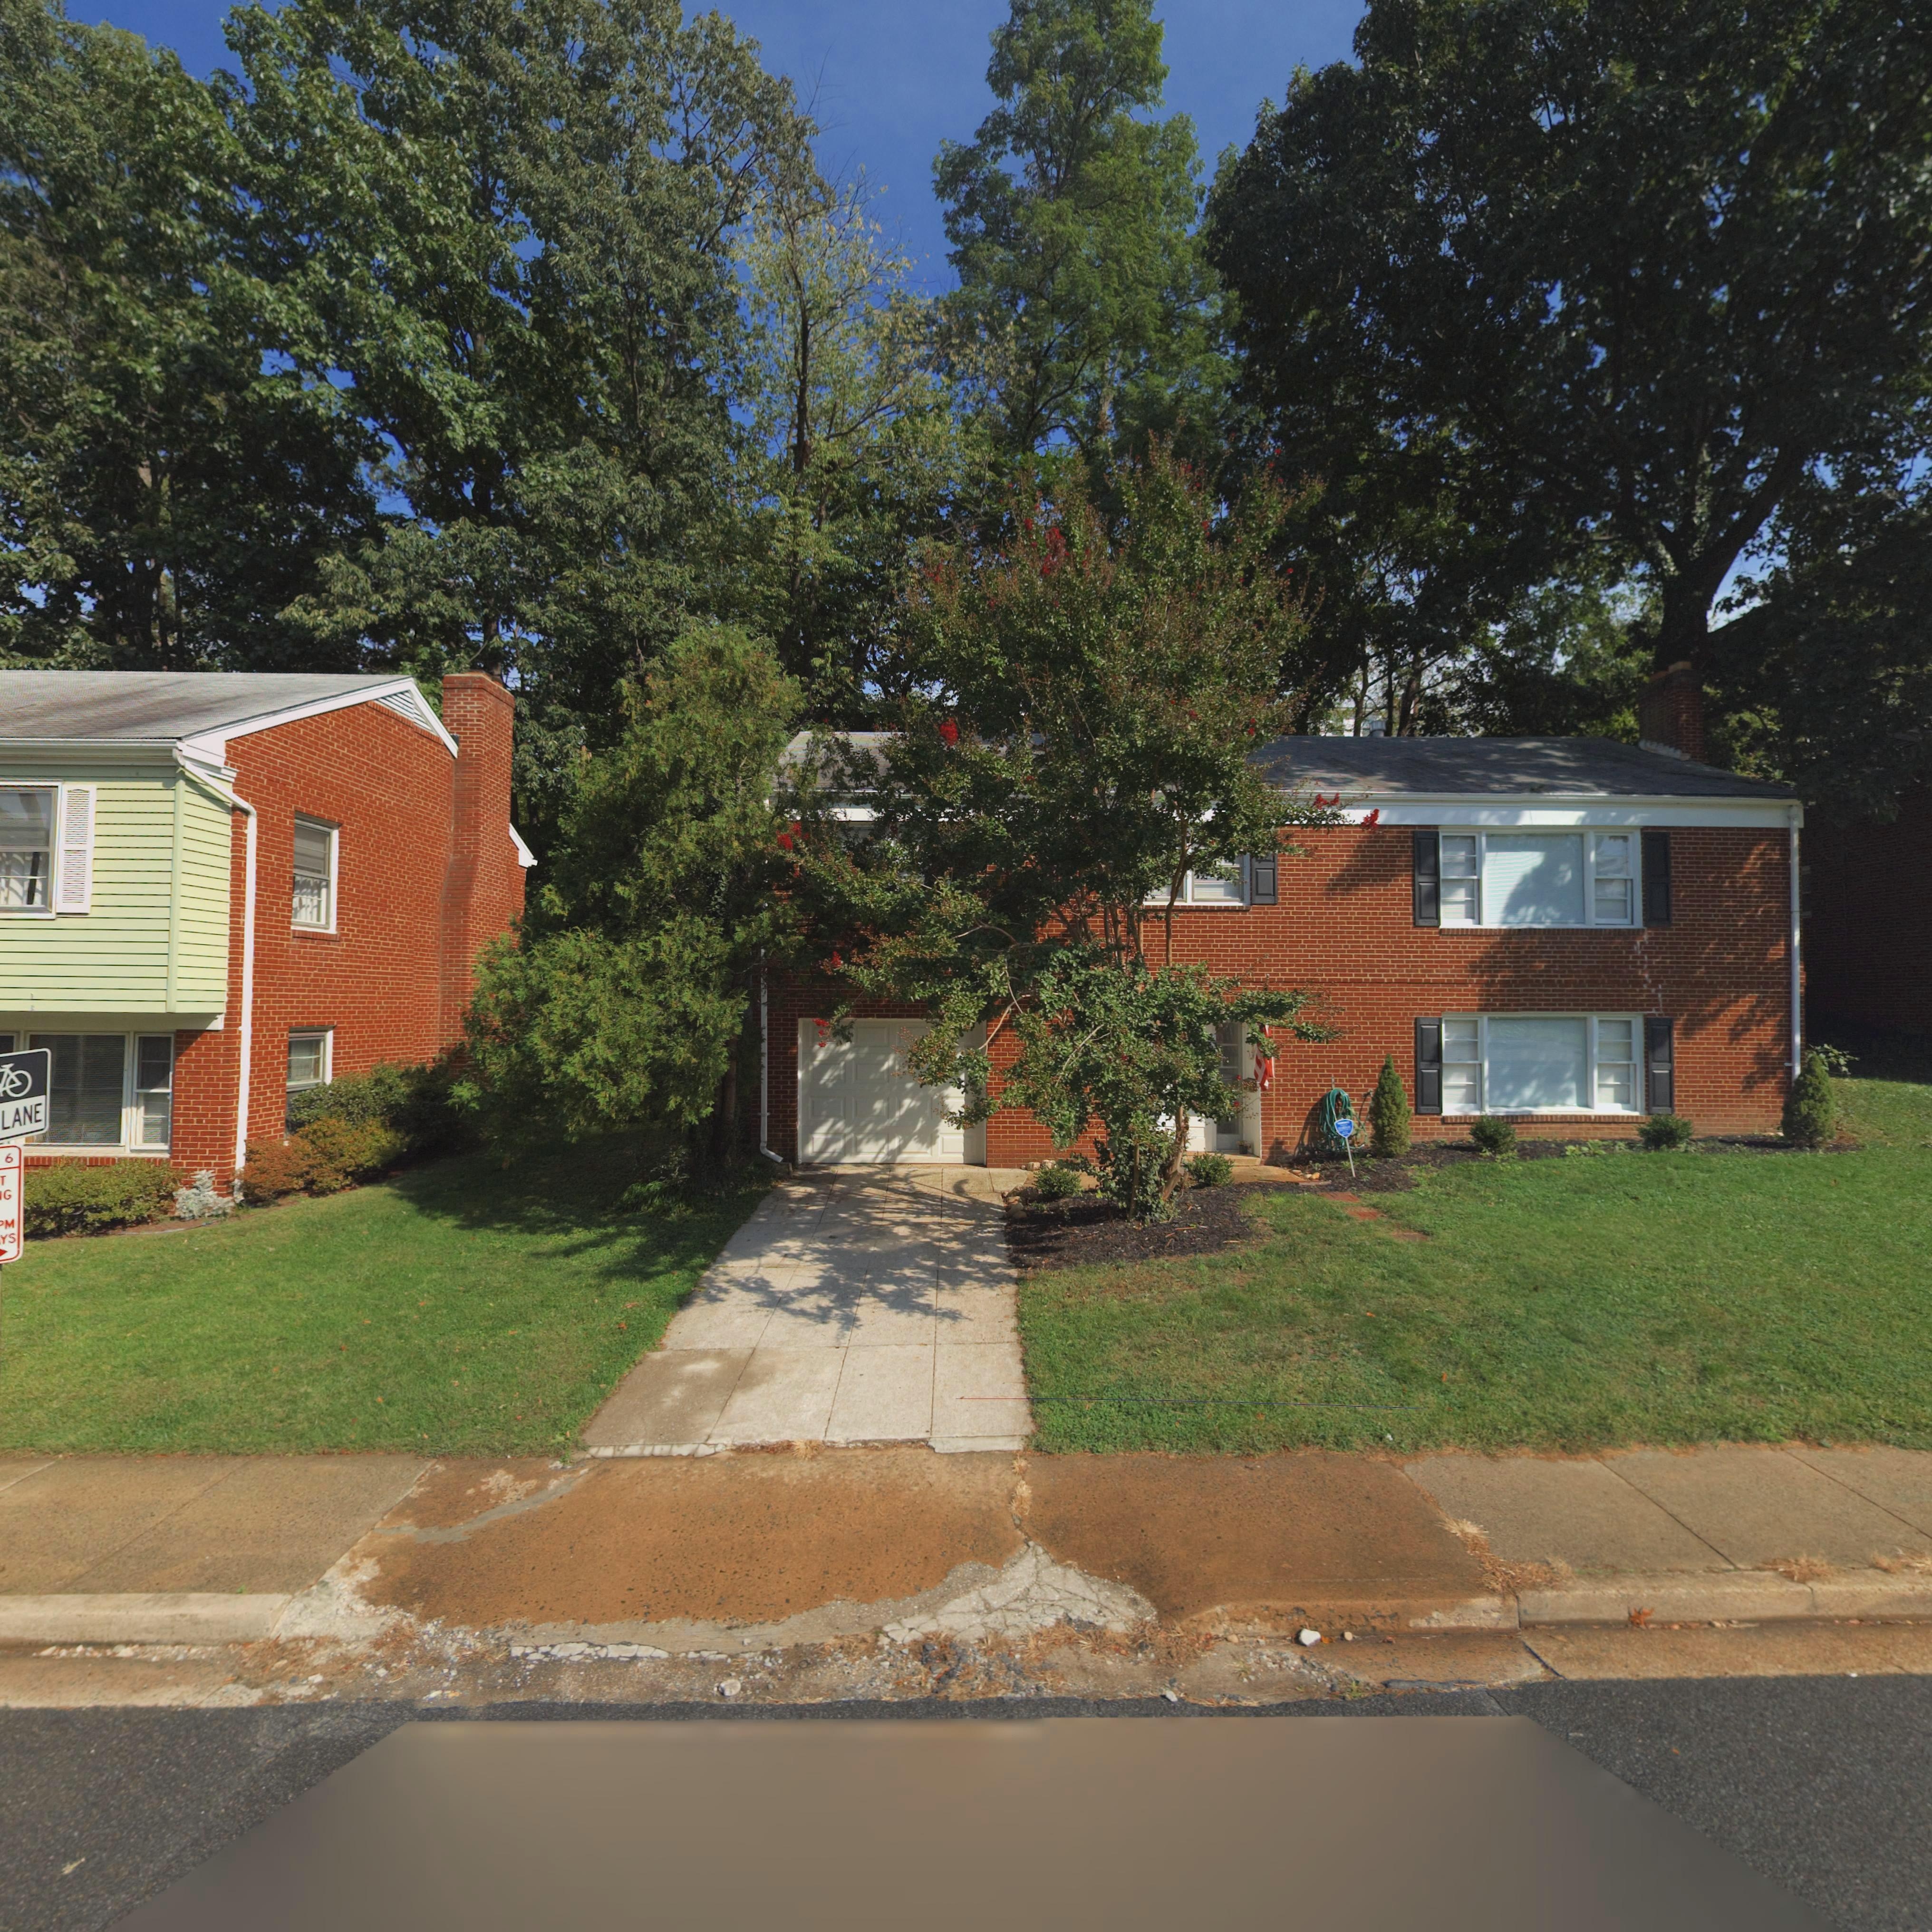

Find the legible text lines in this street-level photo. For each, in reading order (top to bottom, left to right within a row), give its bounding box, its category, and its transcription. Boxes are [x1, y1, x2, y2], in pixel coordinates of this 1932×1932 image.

[0, 1100, 44, 1133] None: LANE
[2, 1150, 15, 1165] None: 6
[0, 1174, 7, 1187] None: T
[2, 1187, 13, 1202] None: G
[3, 1216, 16, 1231] None: M
[0, 1231, 18, 1246] None: YS